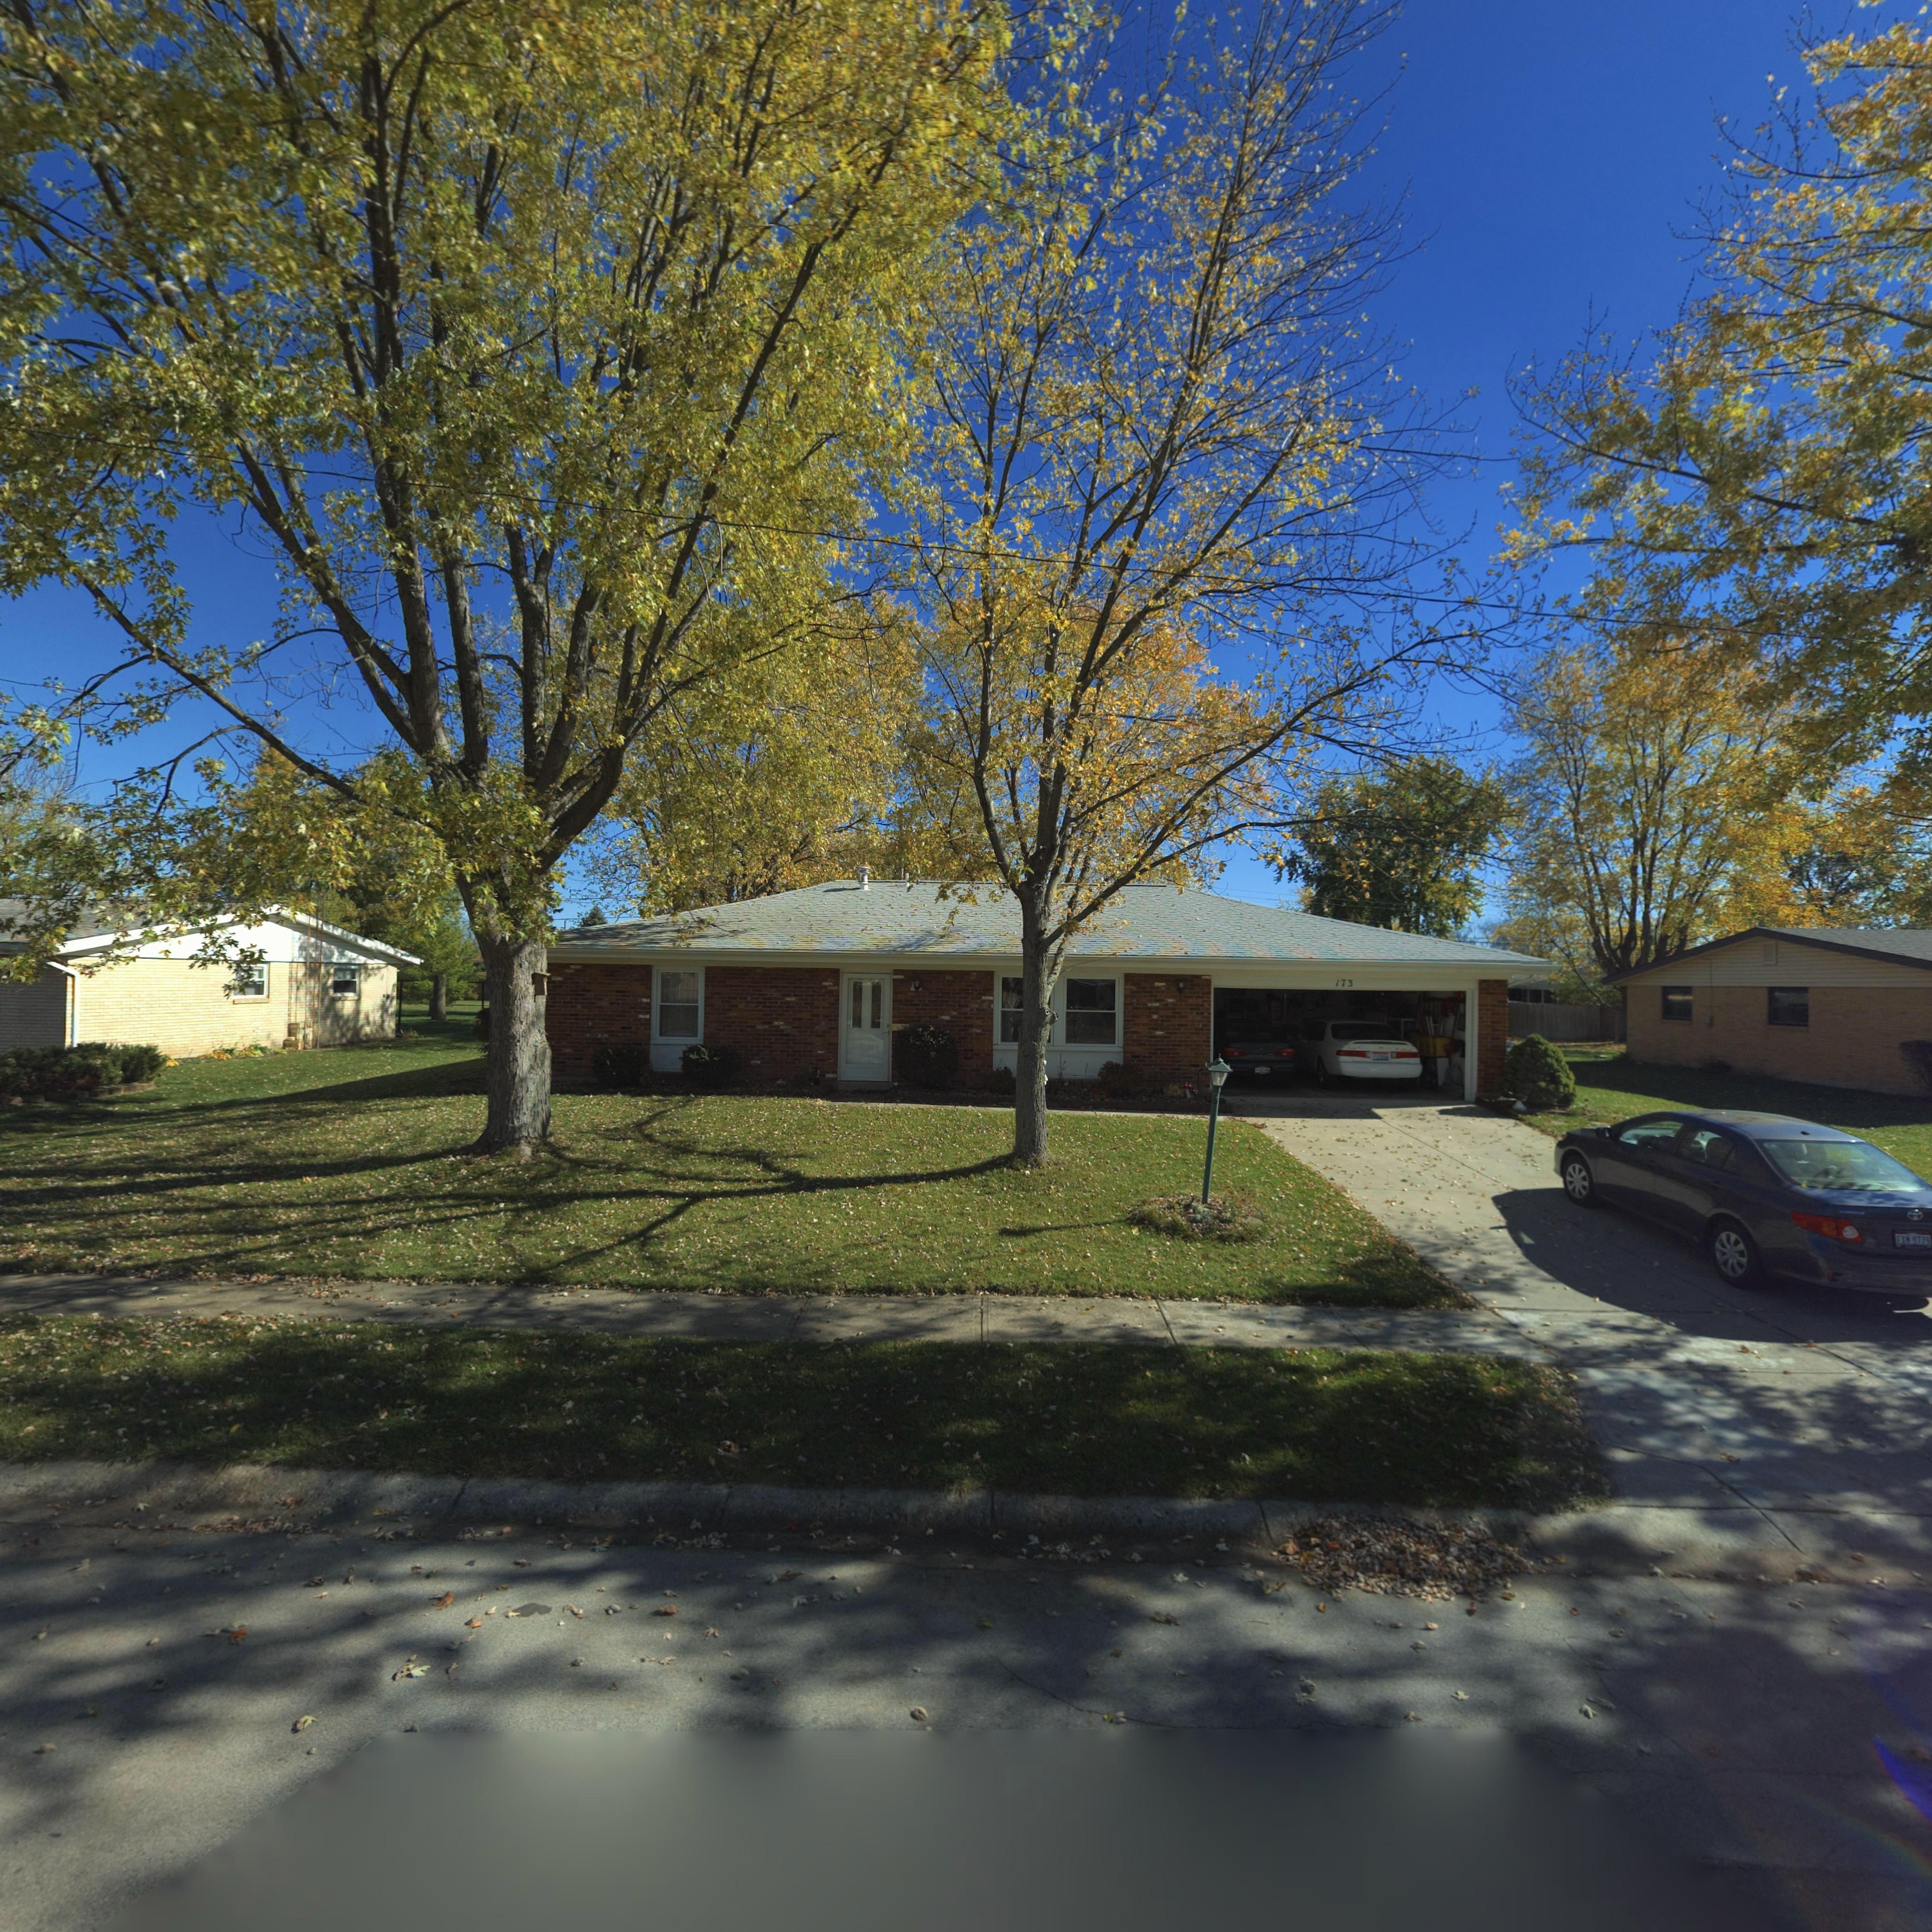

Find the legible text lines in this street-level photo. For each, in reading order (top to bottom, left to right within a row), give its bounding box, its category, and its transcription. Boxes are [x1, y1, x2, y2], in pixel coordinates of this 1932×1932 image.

[1334, 978, 1354, 988] StreetNumber: 173